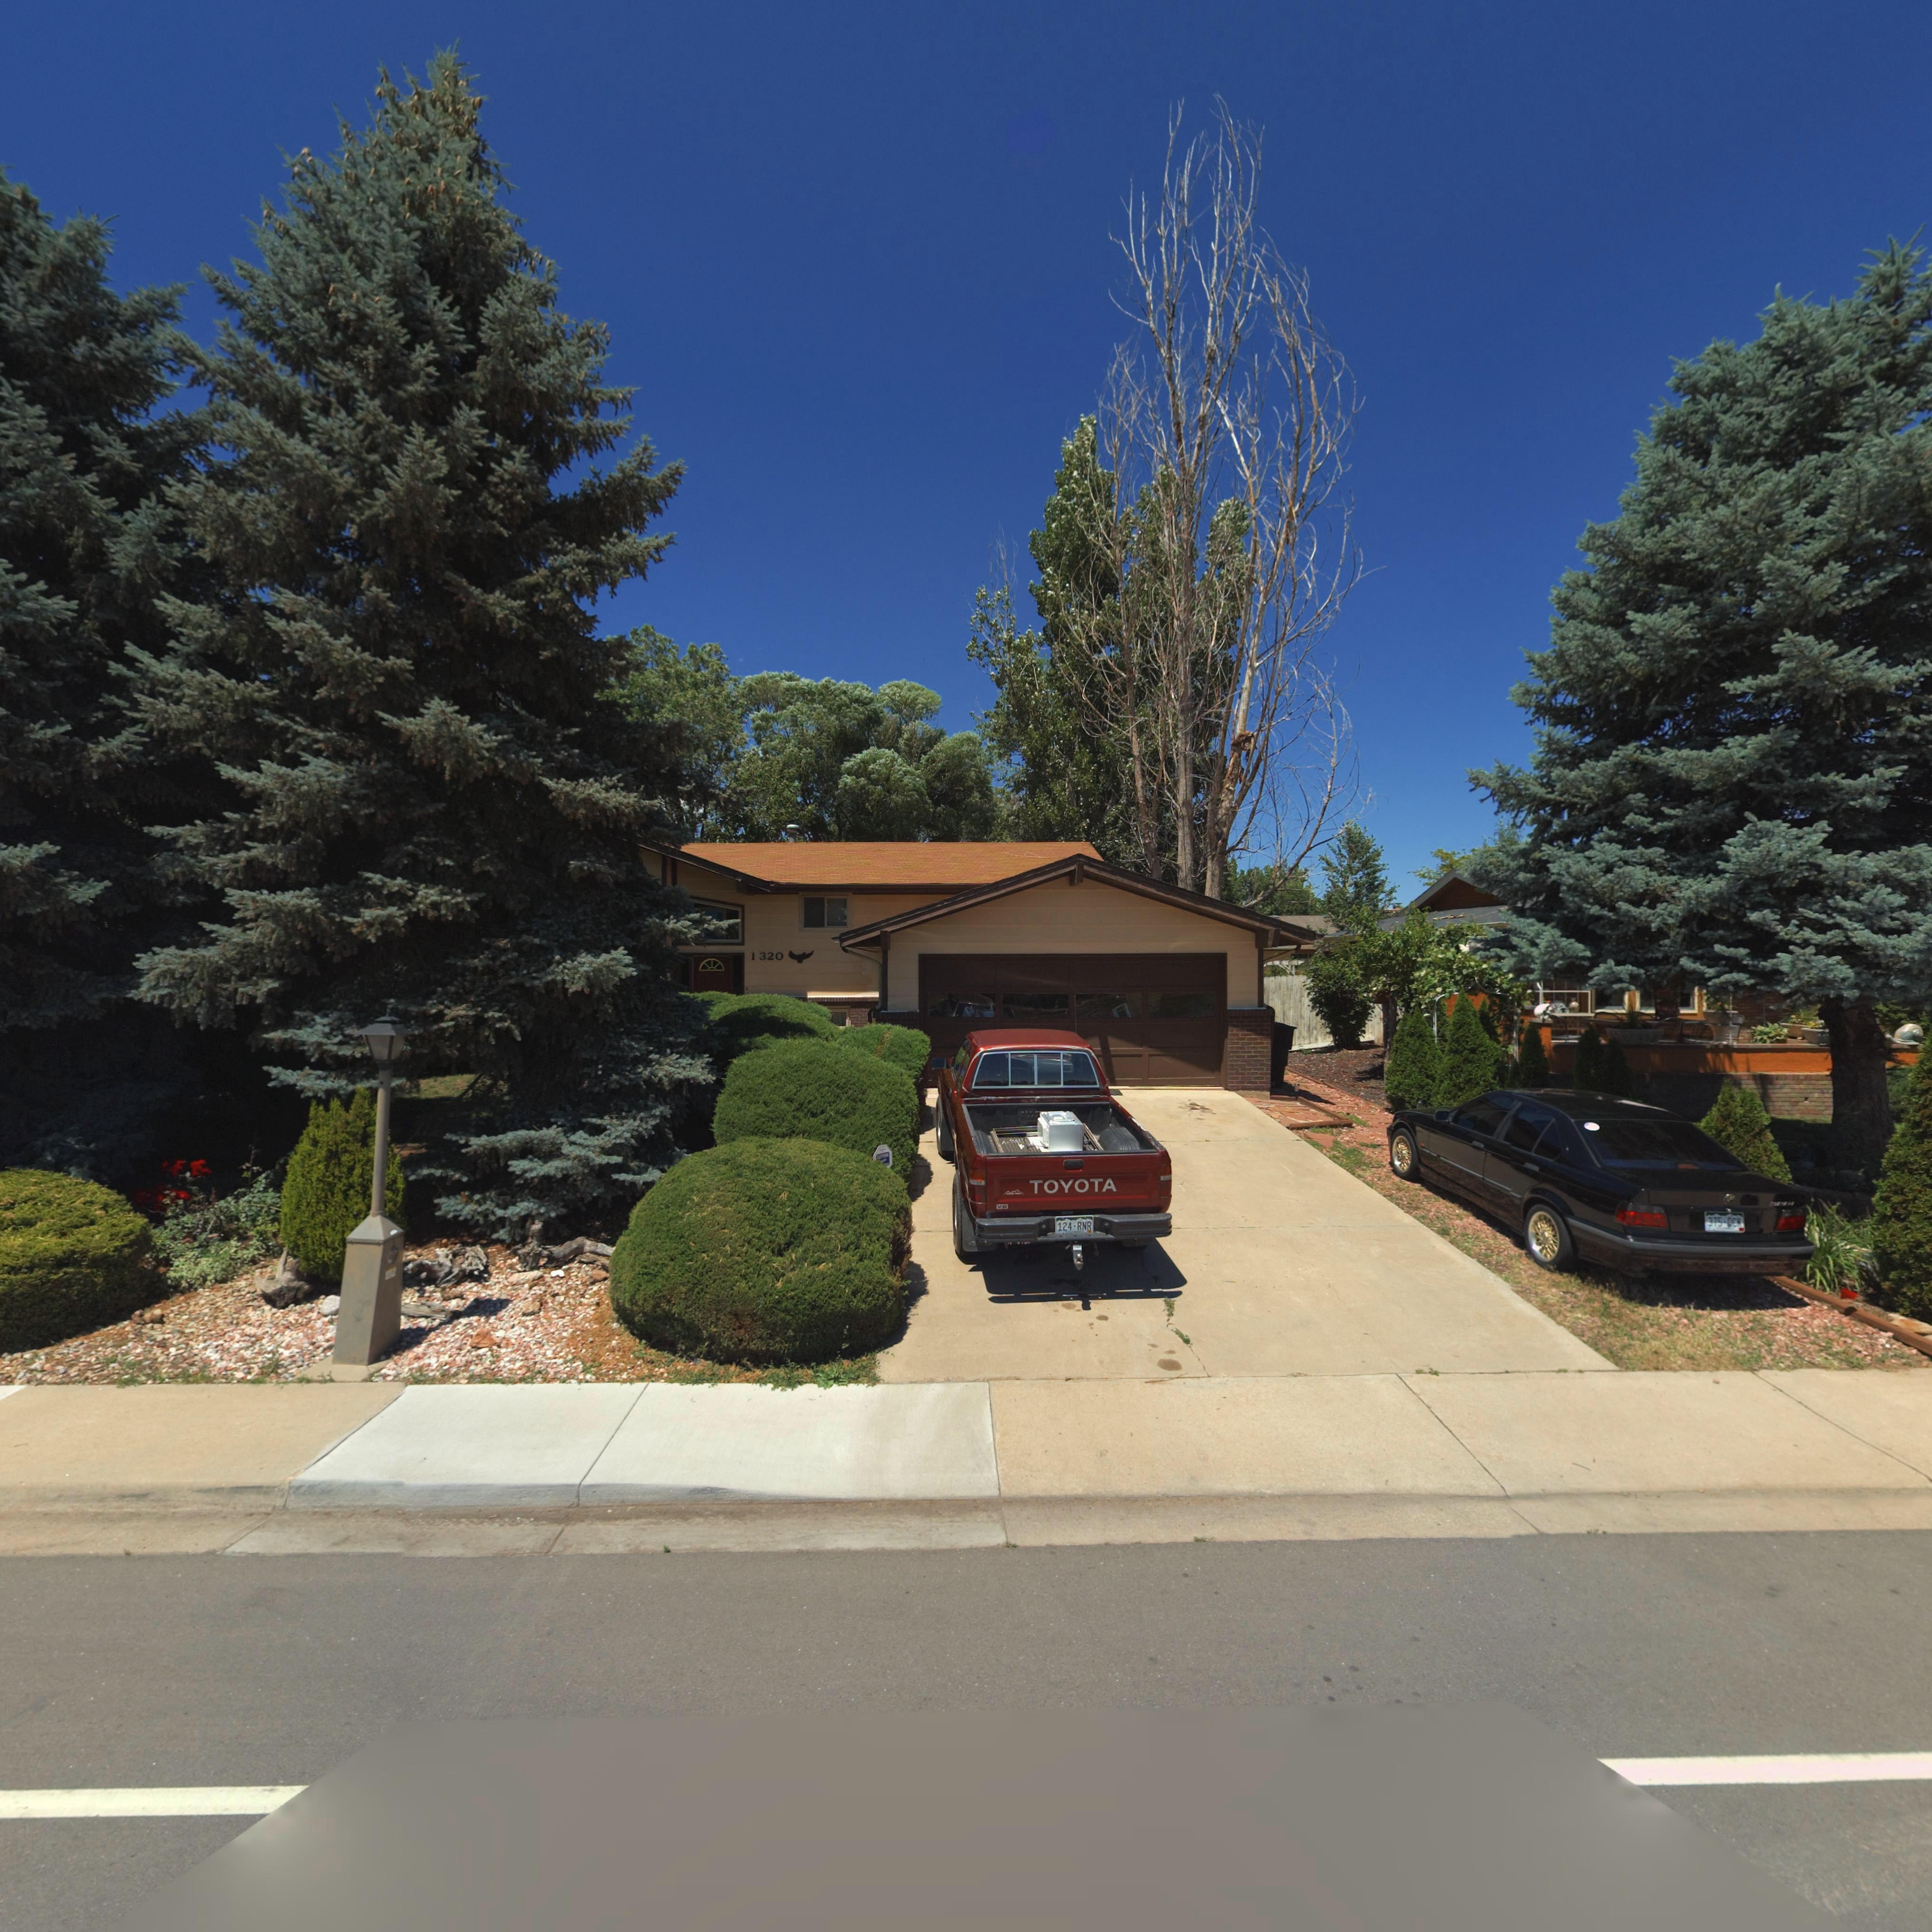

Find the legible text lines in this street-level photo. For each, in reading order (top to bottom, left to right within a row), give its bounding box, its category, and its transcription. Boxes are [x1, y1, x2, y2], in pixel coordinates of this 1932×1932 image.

[751, 951, 784, 960] StreetNumber: 1320